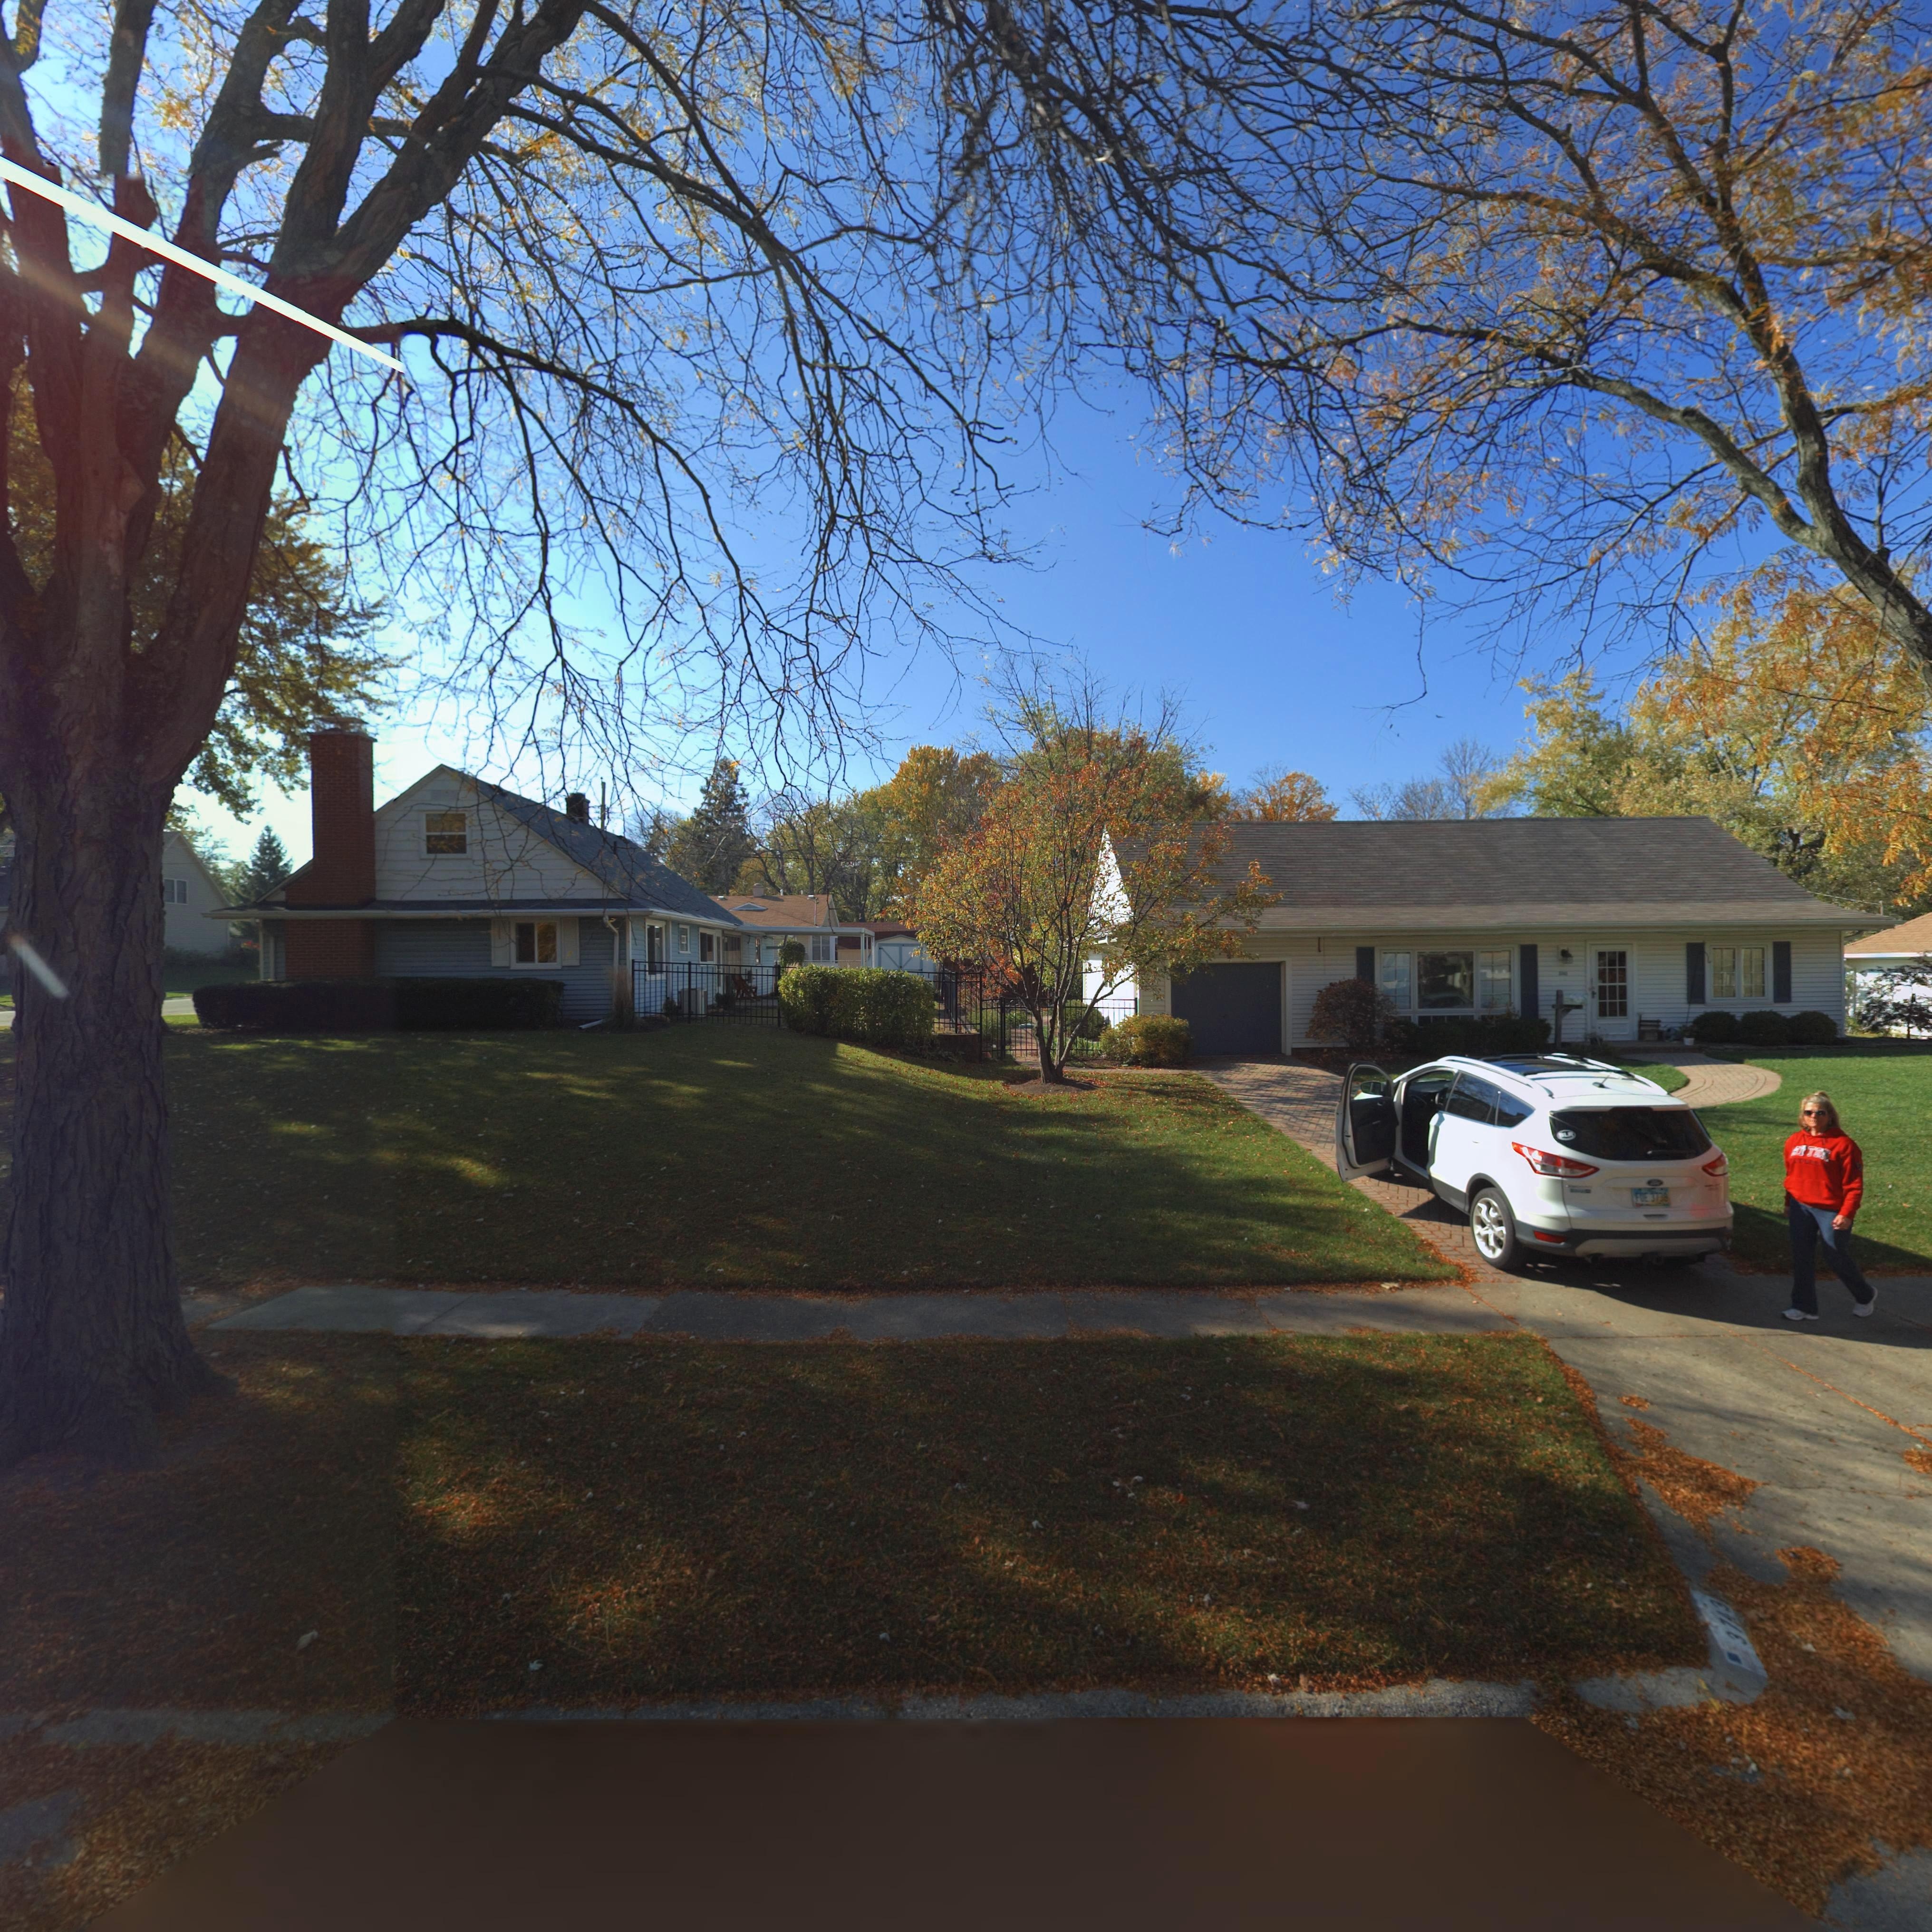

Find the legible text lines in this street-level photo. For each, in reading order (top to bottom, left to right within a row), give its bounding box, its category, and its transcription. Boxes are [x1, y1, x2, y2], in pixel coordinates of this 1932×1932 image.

[1633, 1190, 1669, 1203] None: FUE 3738